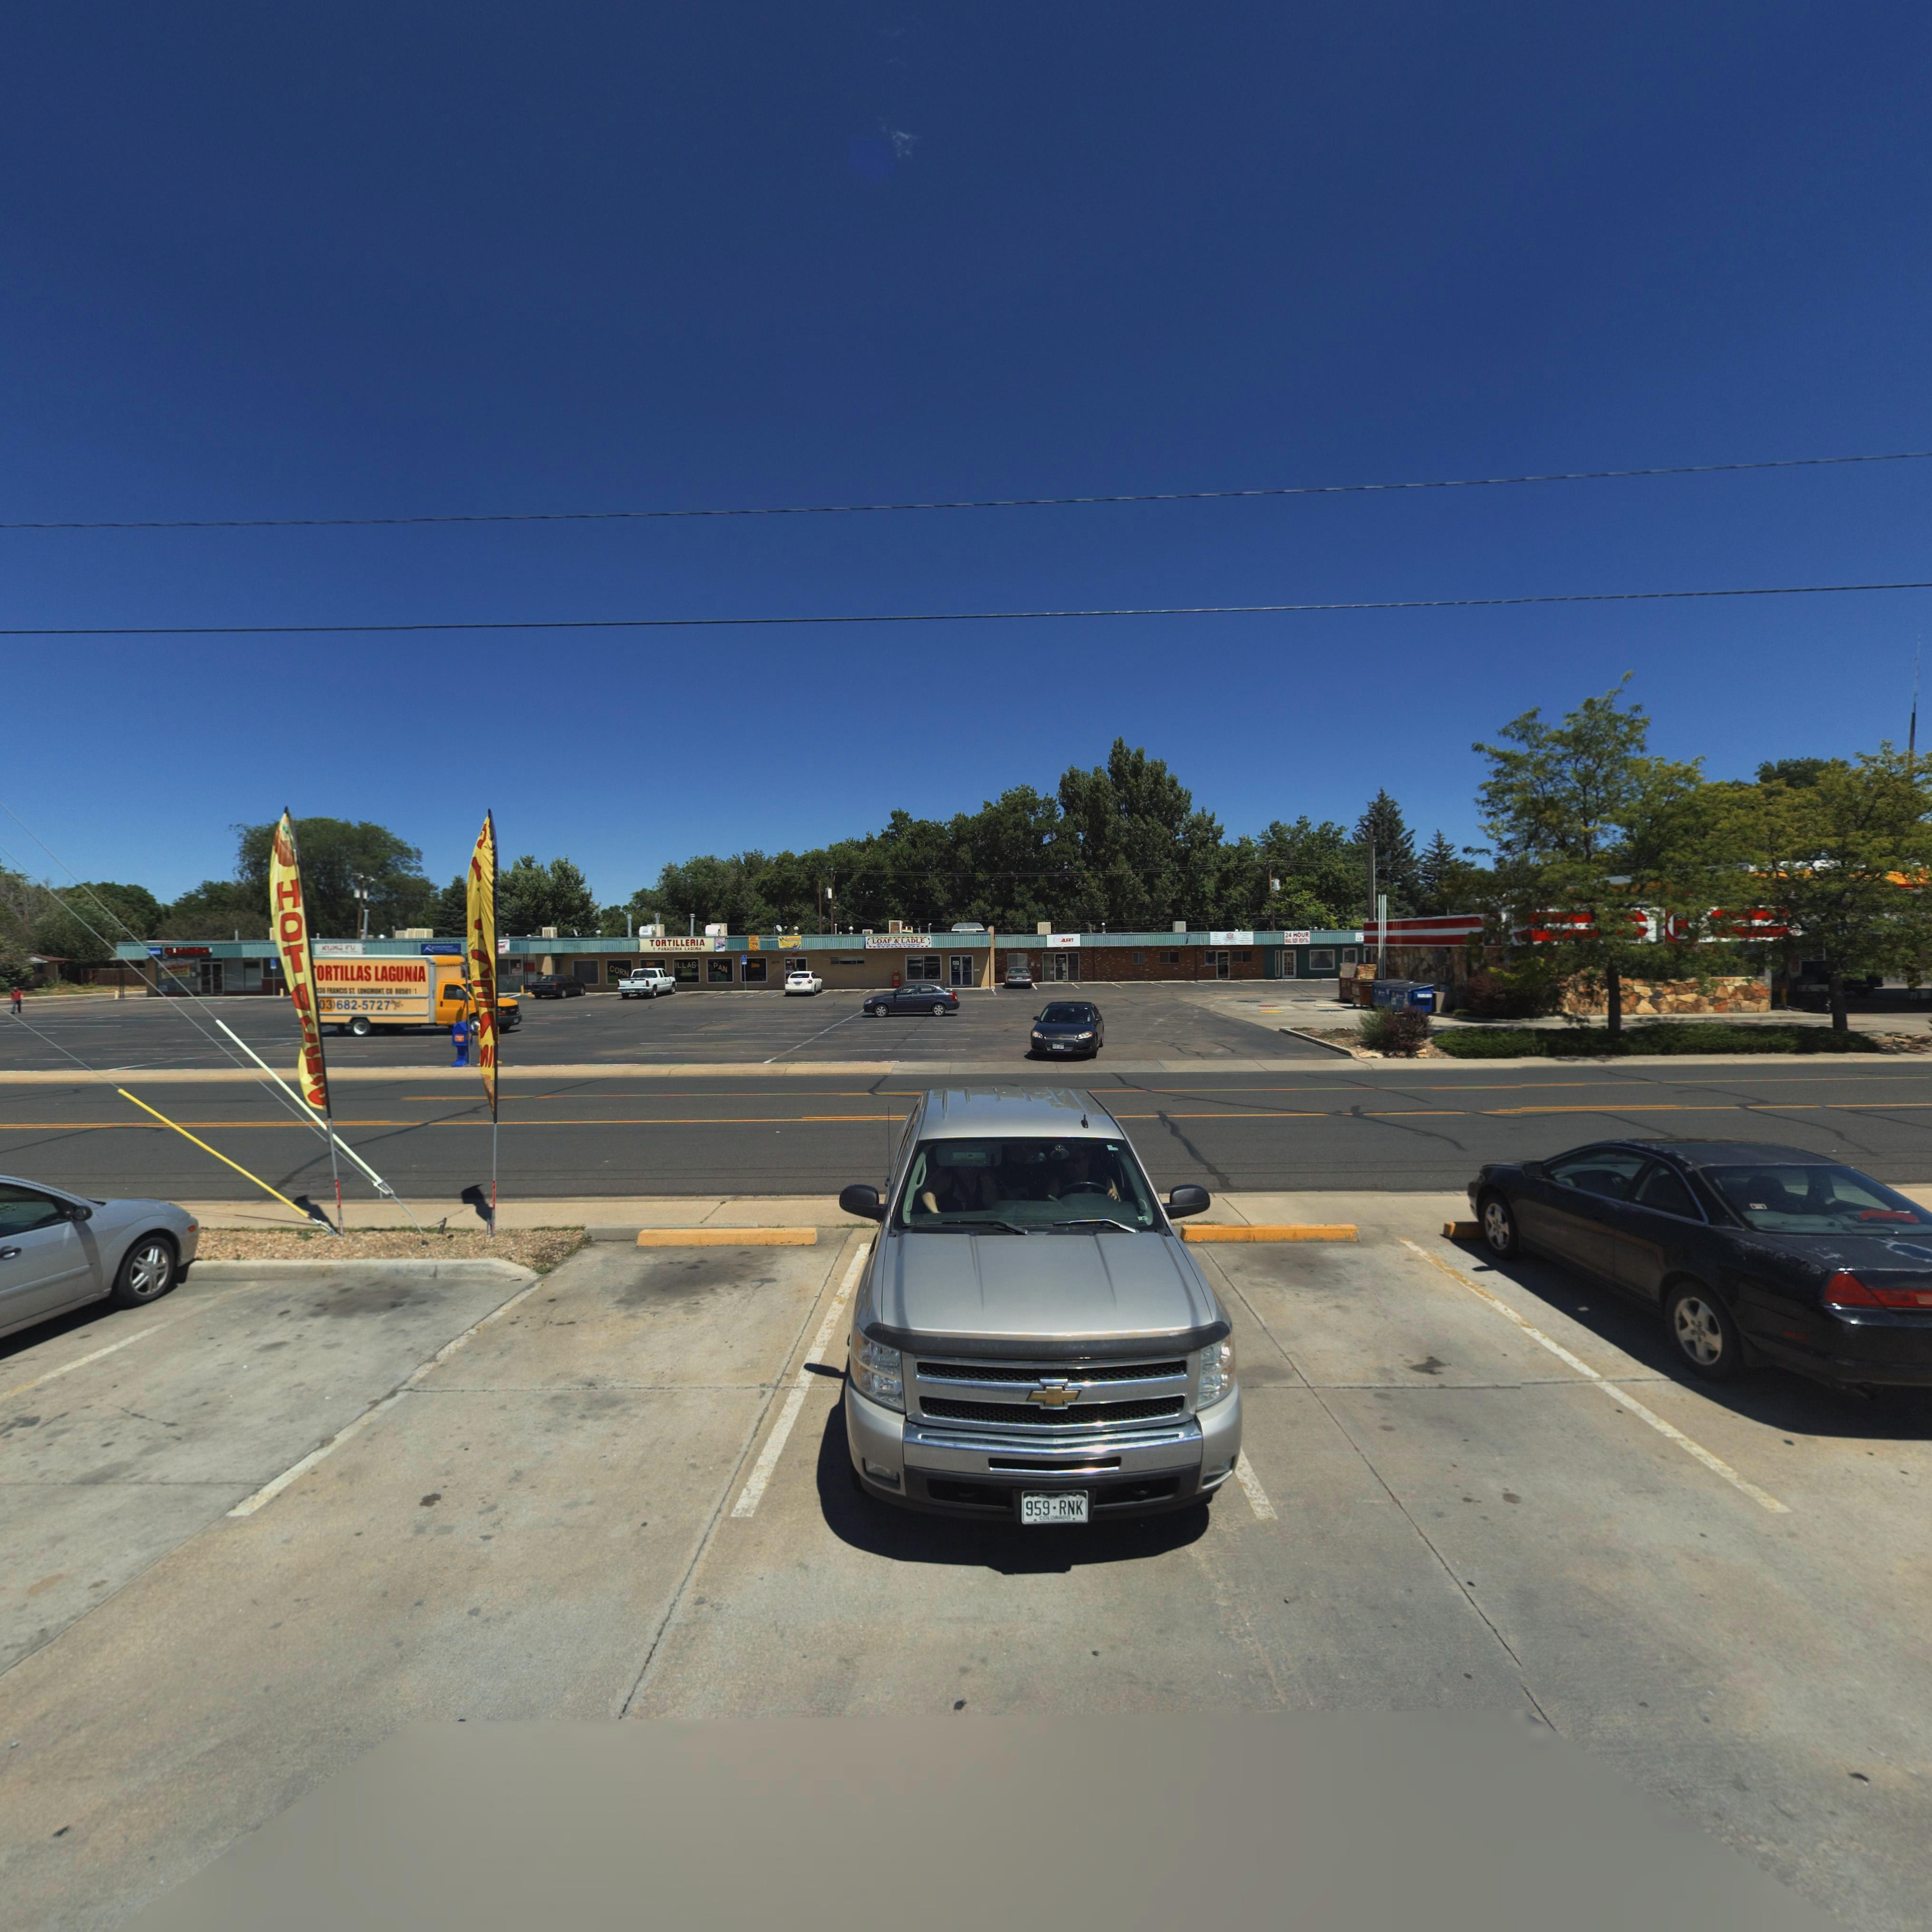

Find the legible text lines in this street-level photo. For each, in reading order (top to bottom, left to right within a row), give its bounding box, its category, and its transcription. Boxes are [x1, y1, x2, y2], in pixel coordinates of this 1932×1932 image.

[649, 938, 705, 947] BusinessName: TORTILLERIA
[872, 938, 925, 944] BusinessName: LOAF * LADLE
[1060, 937, 1073, 942] BusinessName: ALERT
[146, 948, 160, 954] BusinessName: F***cis
[164, 947, 209, 955] BusinessName: CLEANERS
[321, 944, 356, 951] BusinessName: KUNG FU
[653, 947, 702, 951] BusinessName: * PANADERIA LABUNA